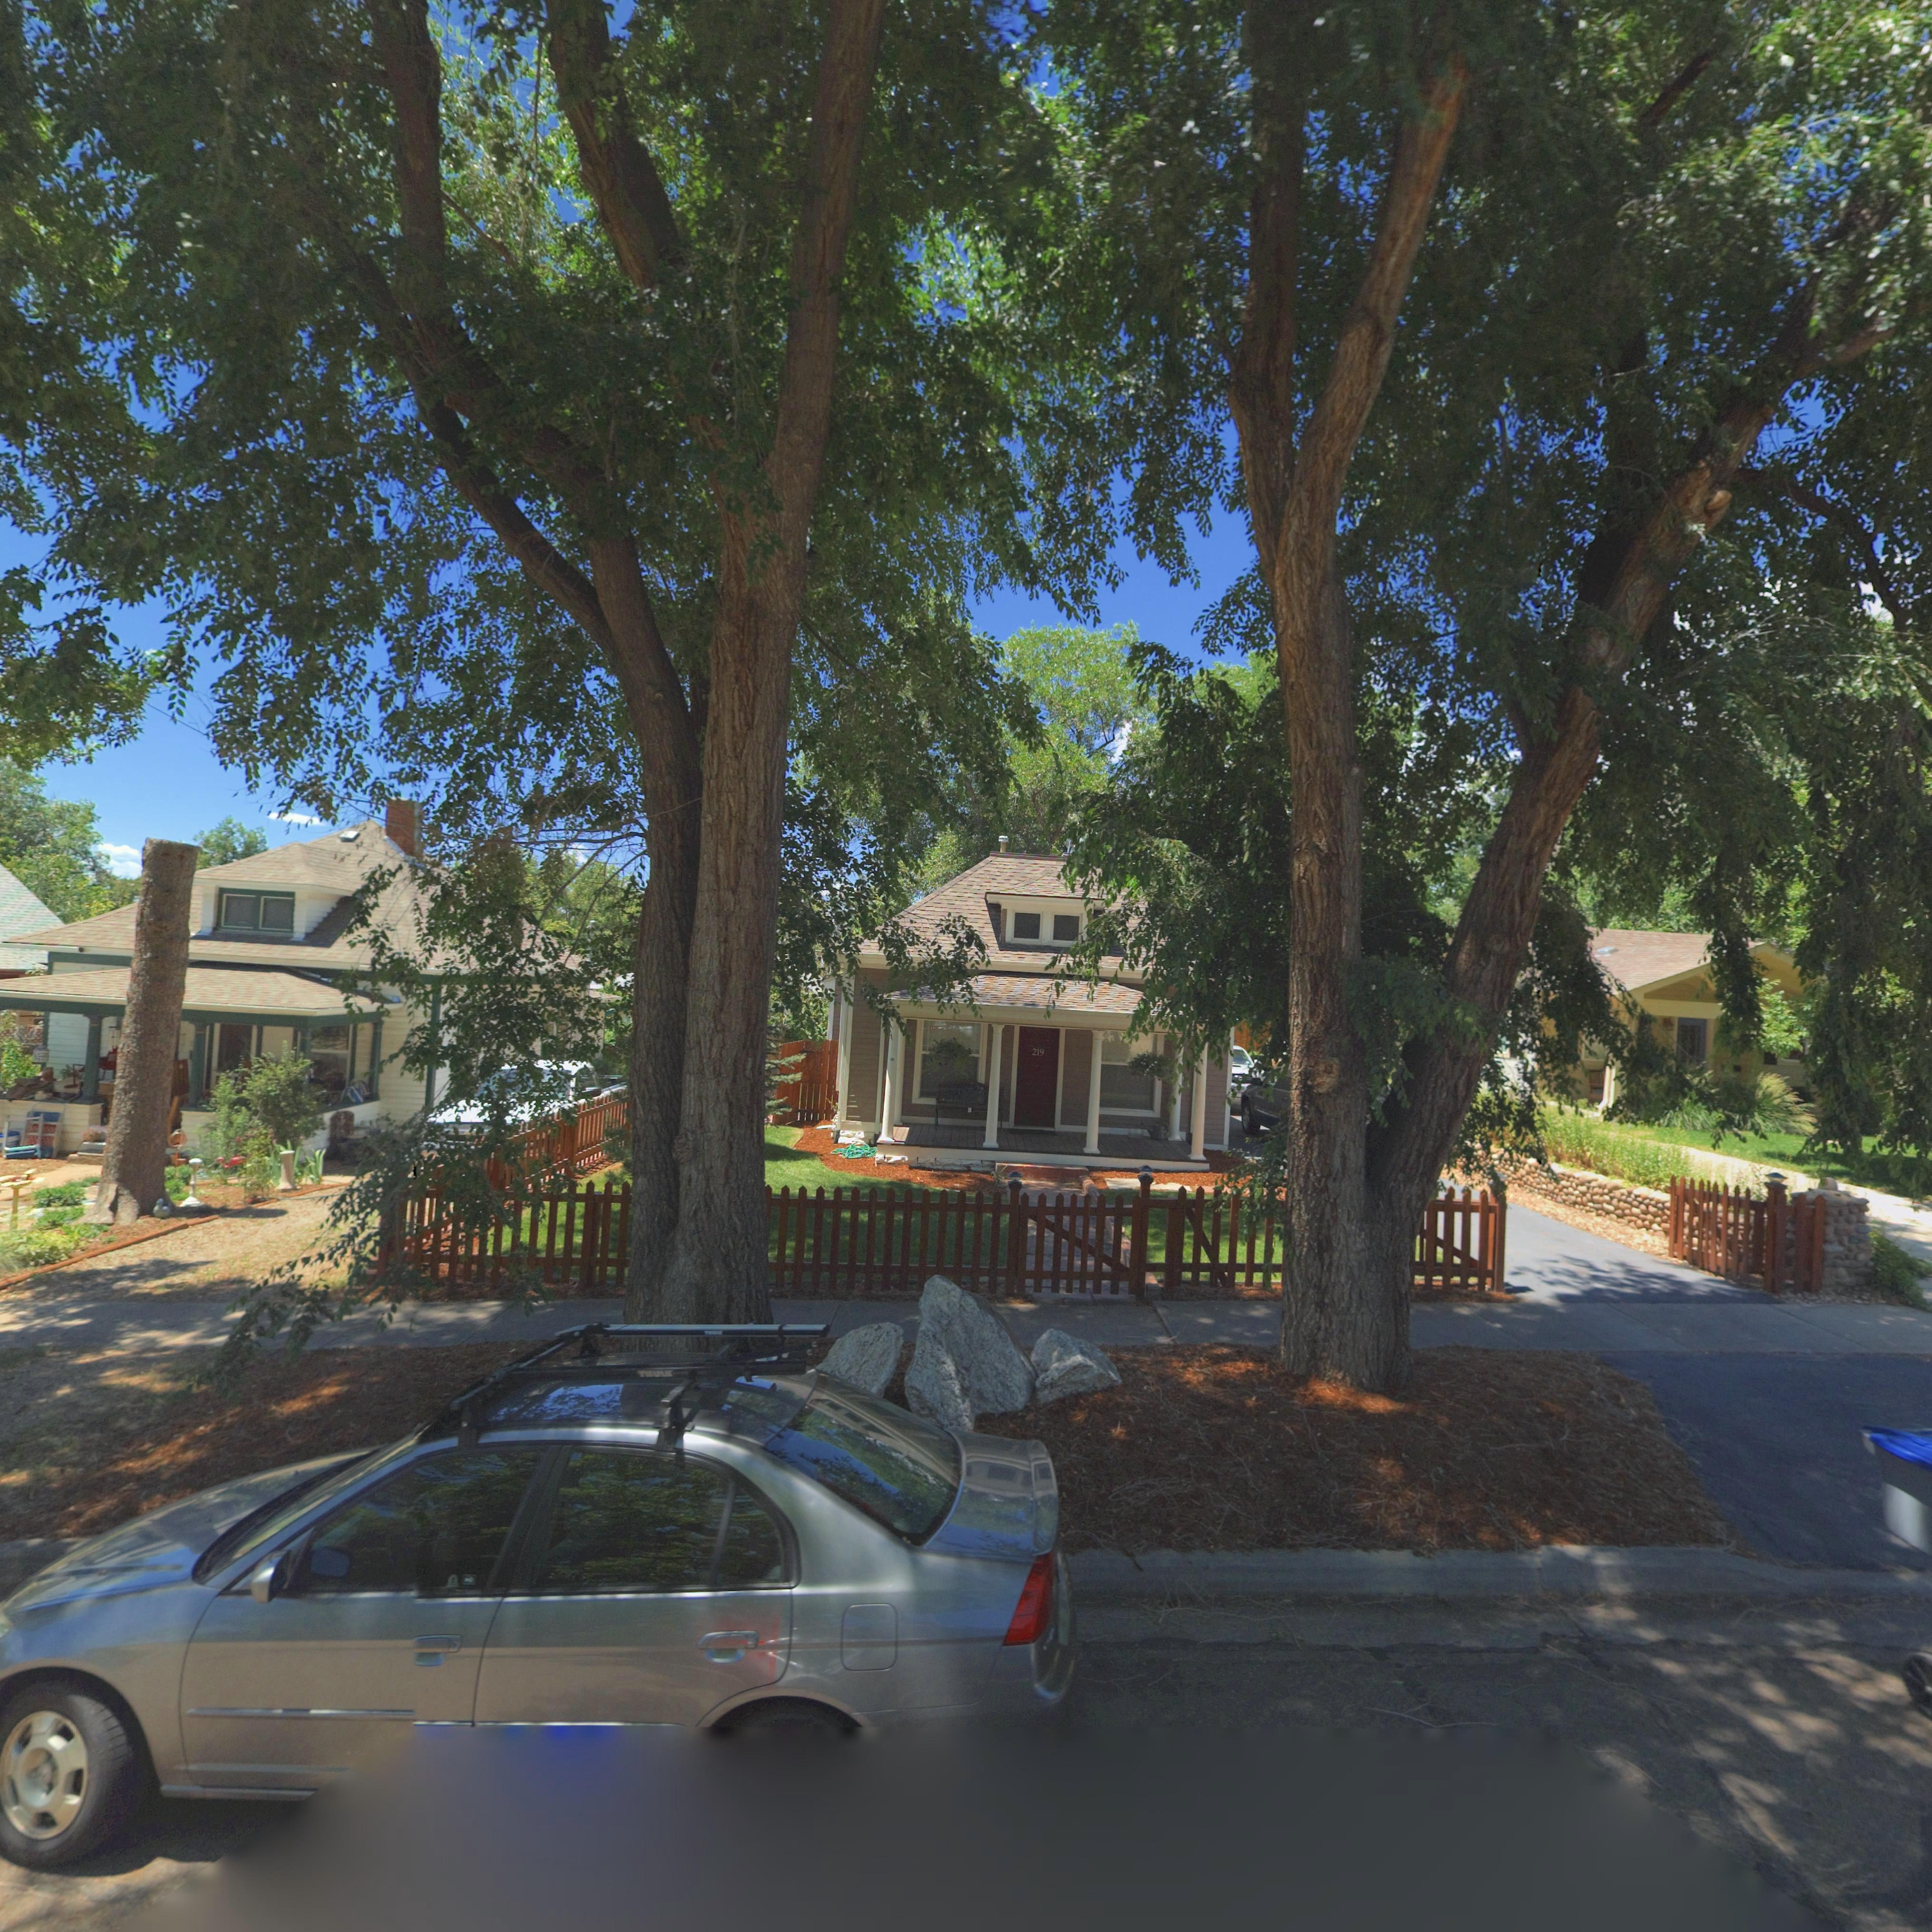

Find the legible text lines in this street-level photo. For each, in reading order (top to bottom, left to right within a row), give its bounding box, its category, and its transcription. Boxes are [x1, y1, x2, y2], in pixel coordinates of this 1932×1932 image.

[1032, 1047, 1044, 1056] StreetNumber: 219